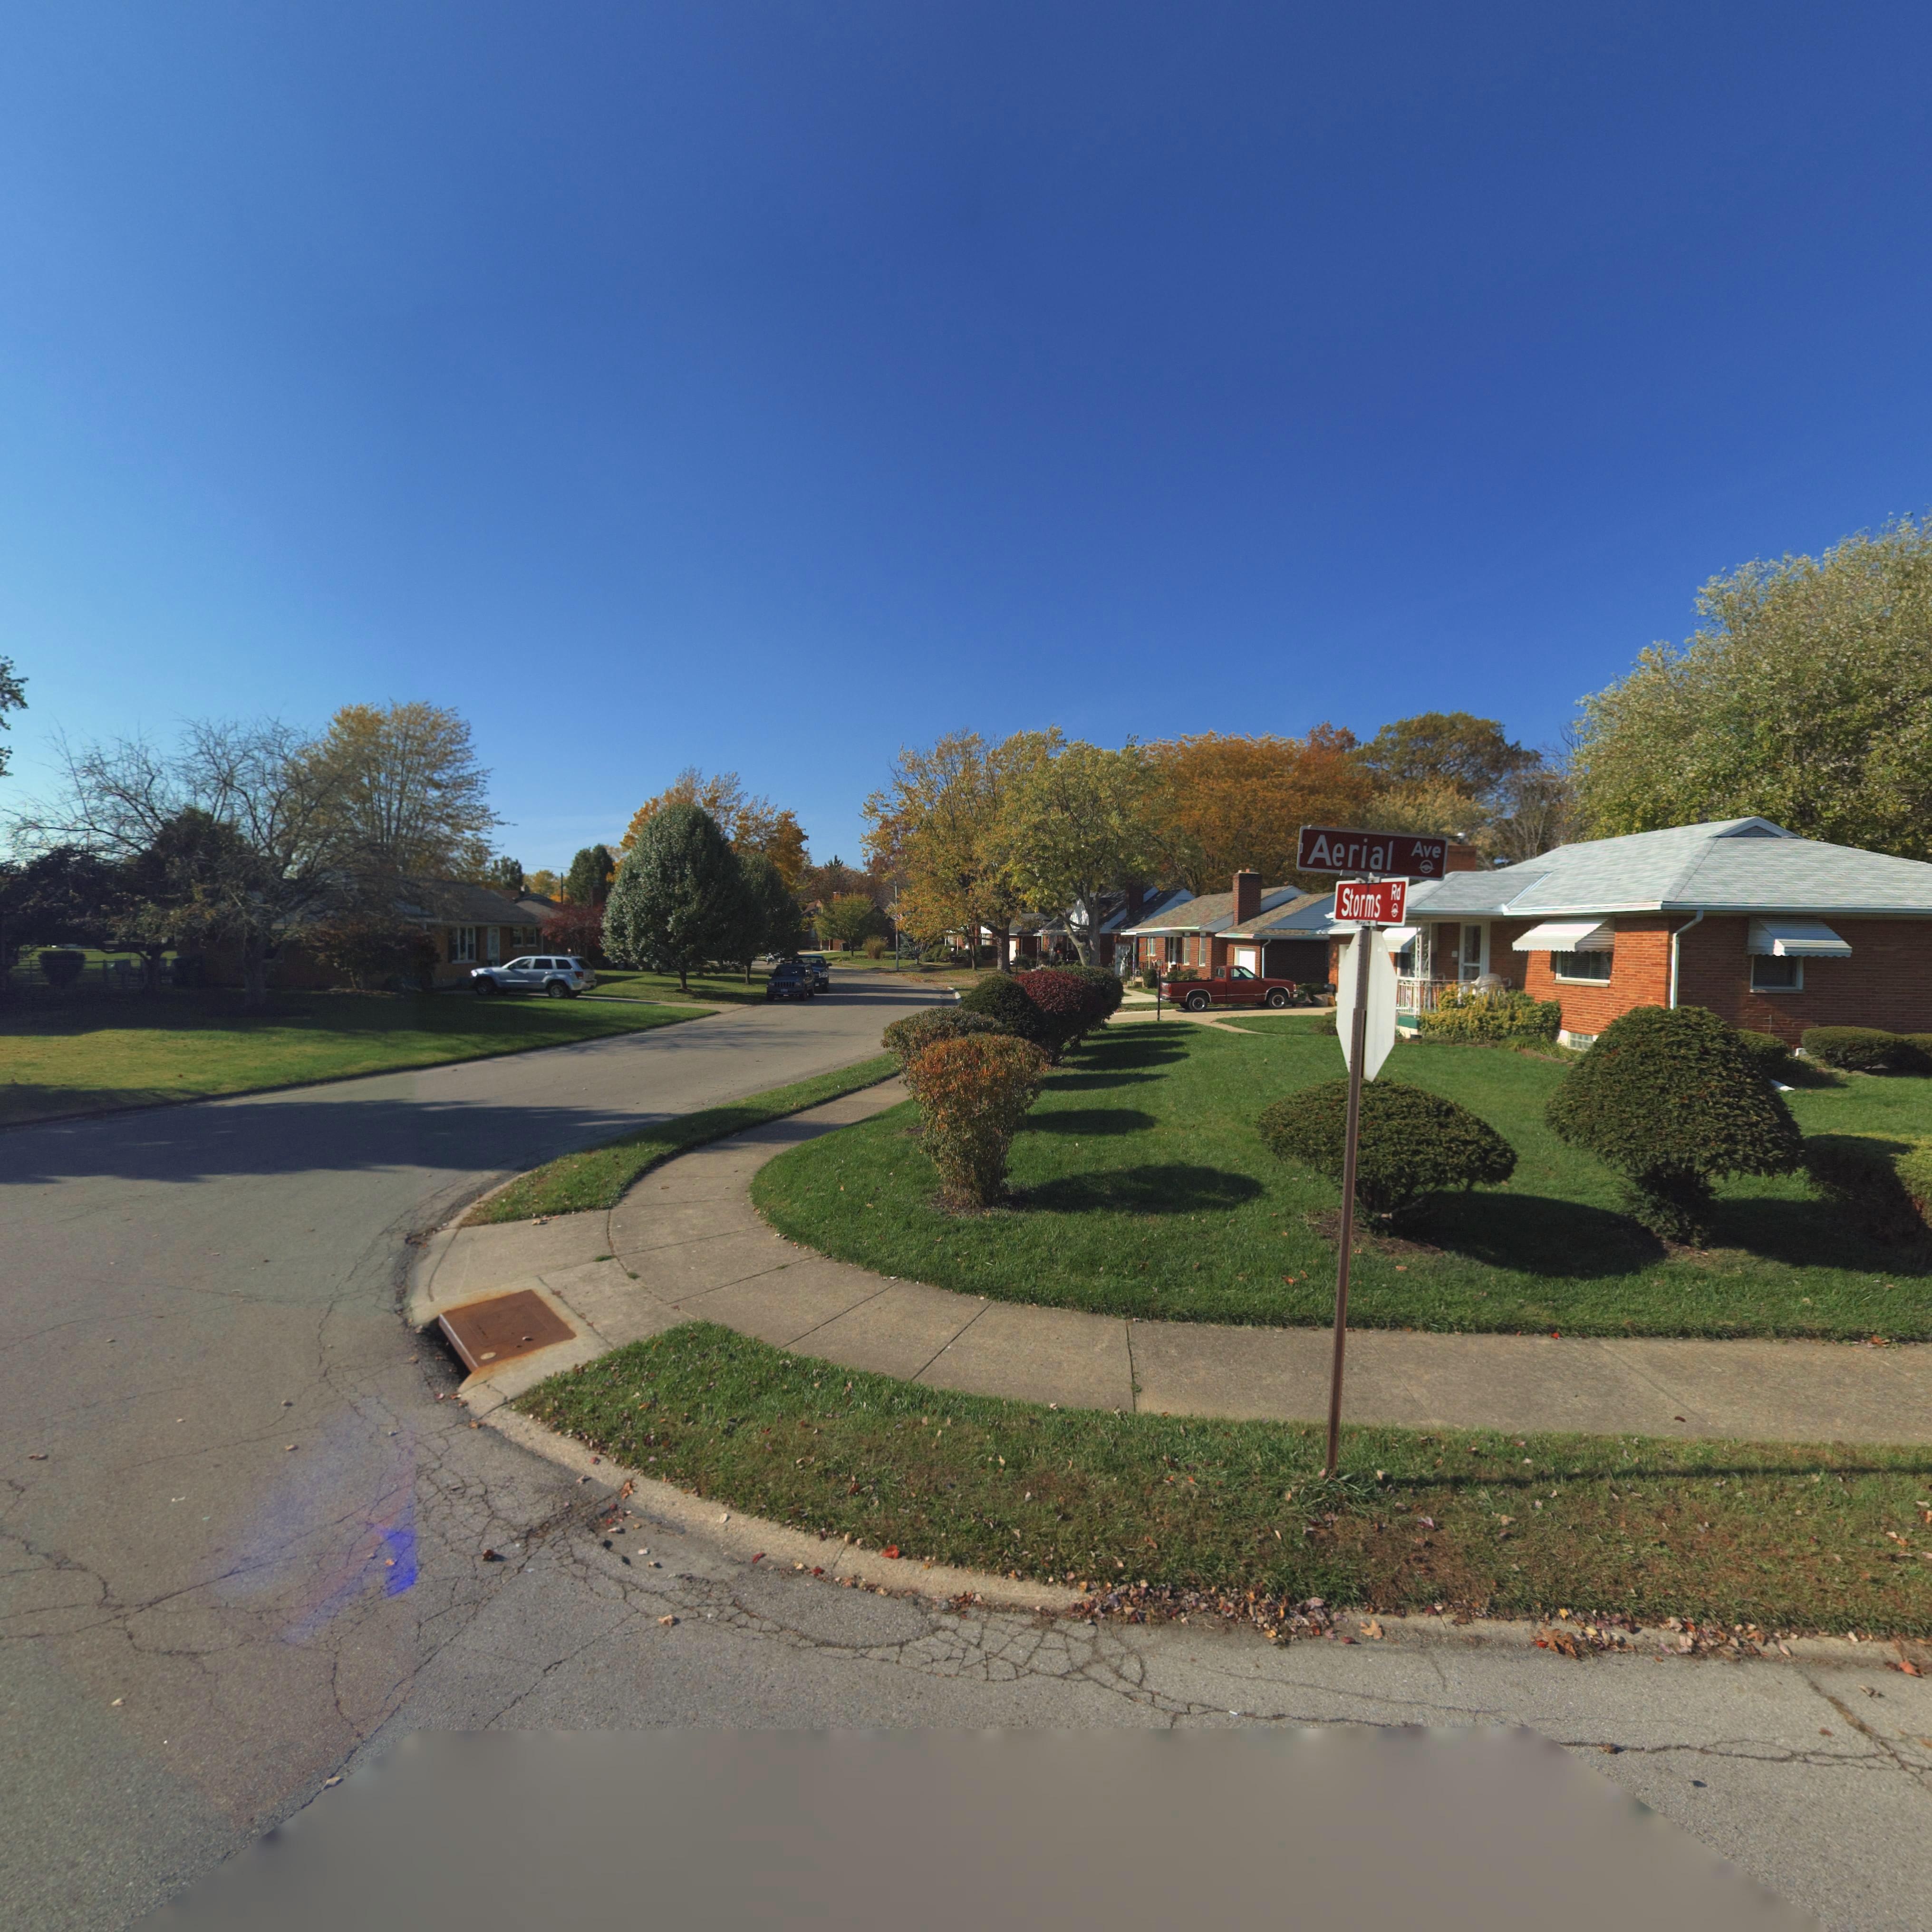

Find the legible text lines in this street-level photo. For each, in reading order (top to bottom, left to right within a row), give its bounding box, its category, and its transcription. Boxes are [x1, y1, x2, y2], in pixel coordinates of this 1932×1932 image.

[1305, 833, 1442, 871] StreetName: Aerial Ave
[1341, 884, 1402, 919] StreetName: Storms Rd